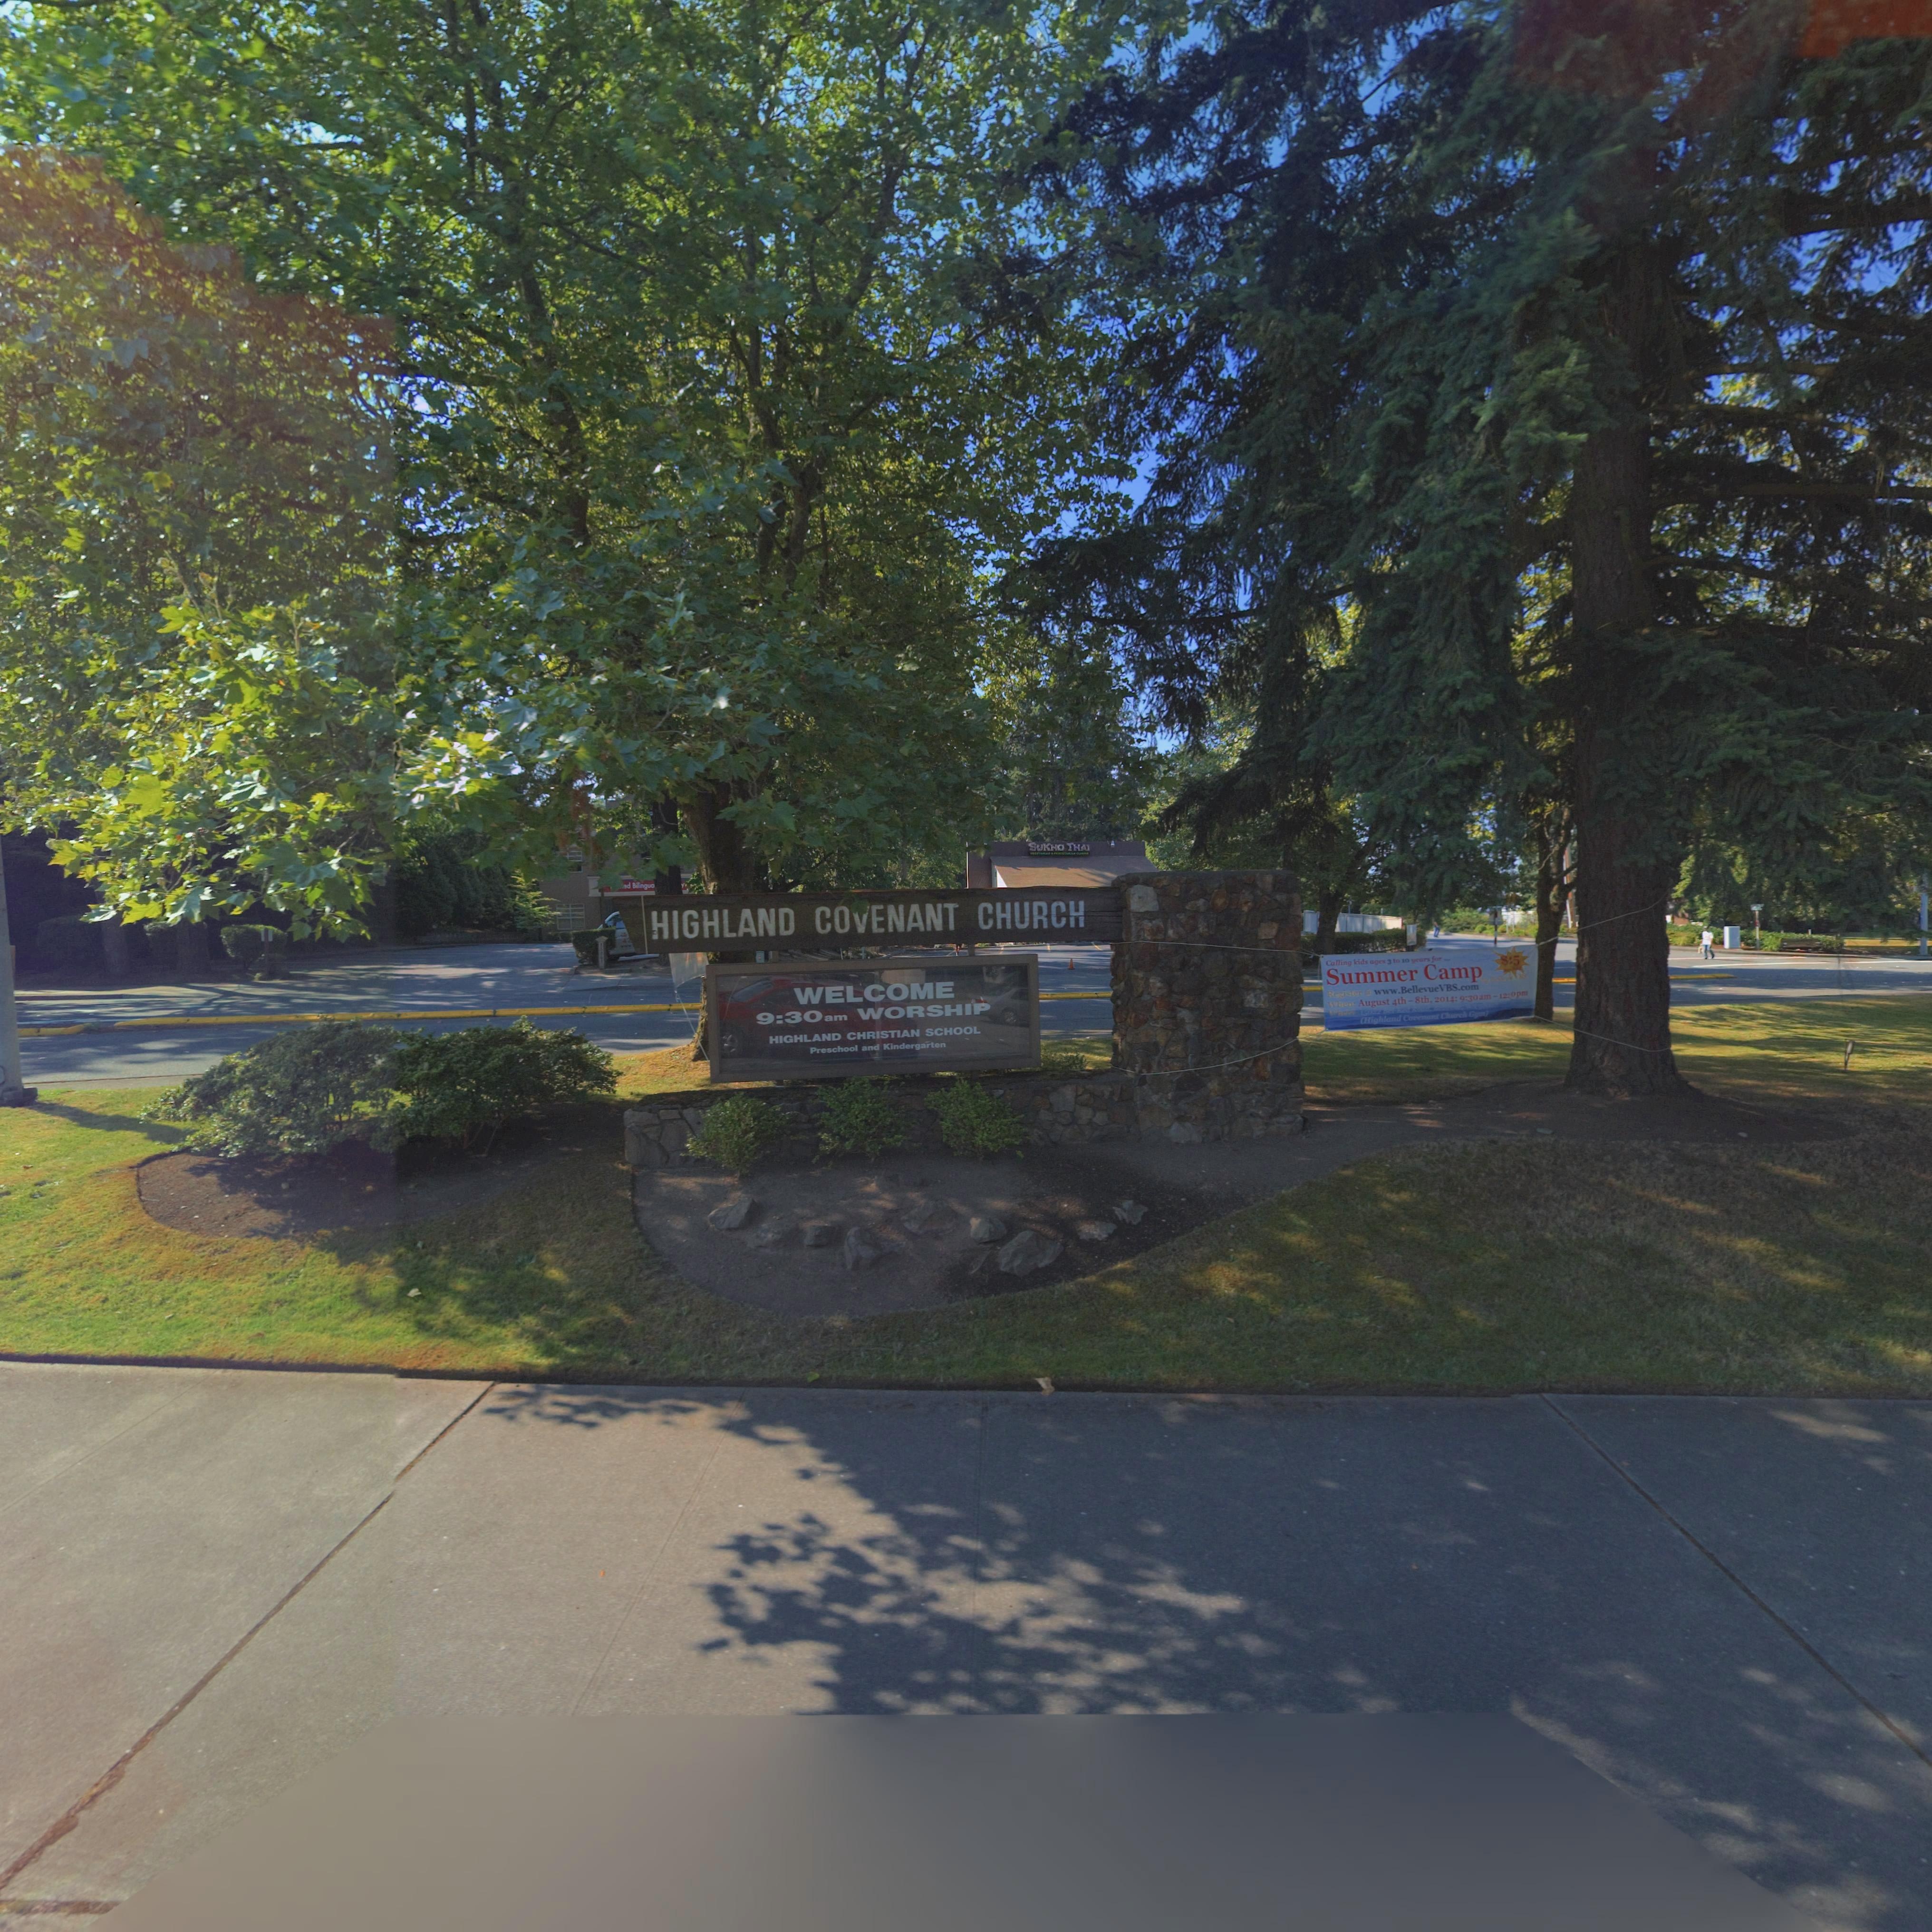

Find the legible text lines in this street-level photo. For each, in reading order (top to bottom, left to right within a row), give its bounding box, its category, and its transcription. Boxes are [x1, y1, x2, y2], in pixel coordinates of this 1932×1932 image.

[648, 898, 1086, 941] BusinessName: HIGHLAND CO*ENANT CHURCH
[769, 1026, 980, 1043] BusinessName: HIGHLAND CHRISTIAN SCHOOL
[809, 1041, 946, 1053] BusinessName: Preschool and Kindergarten